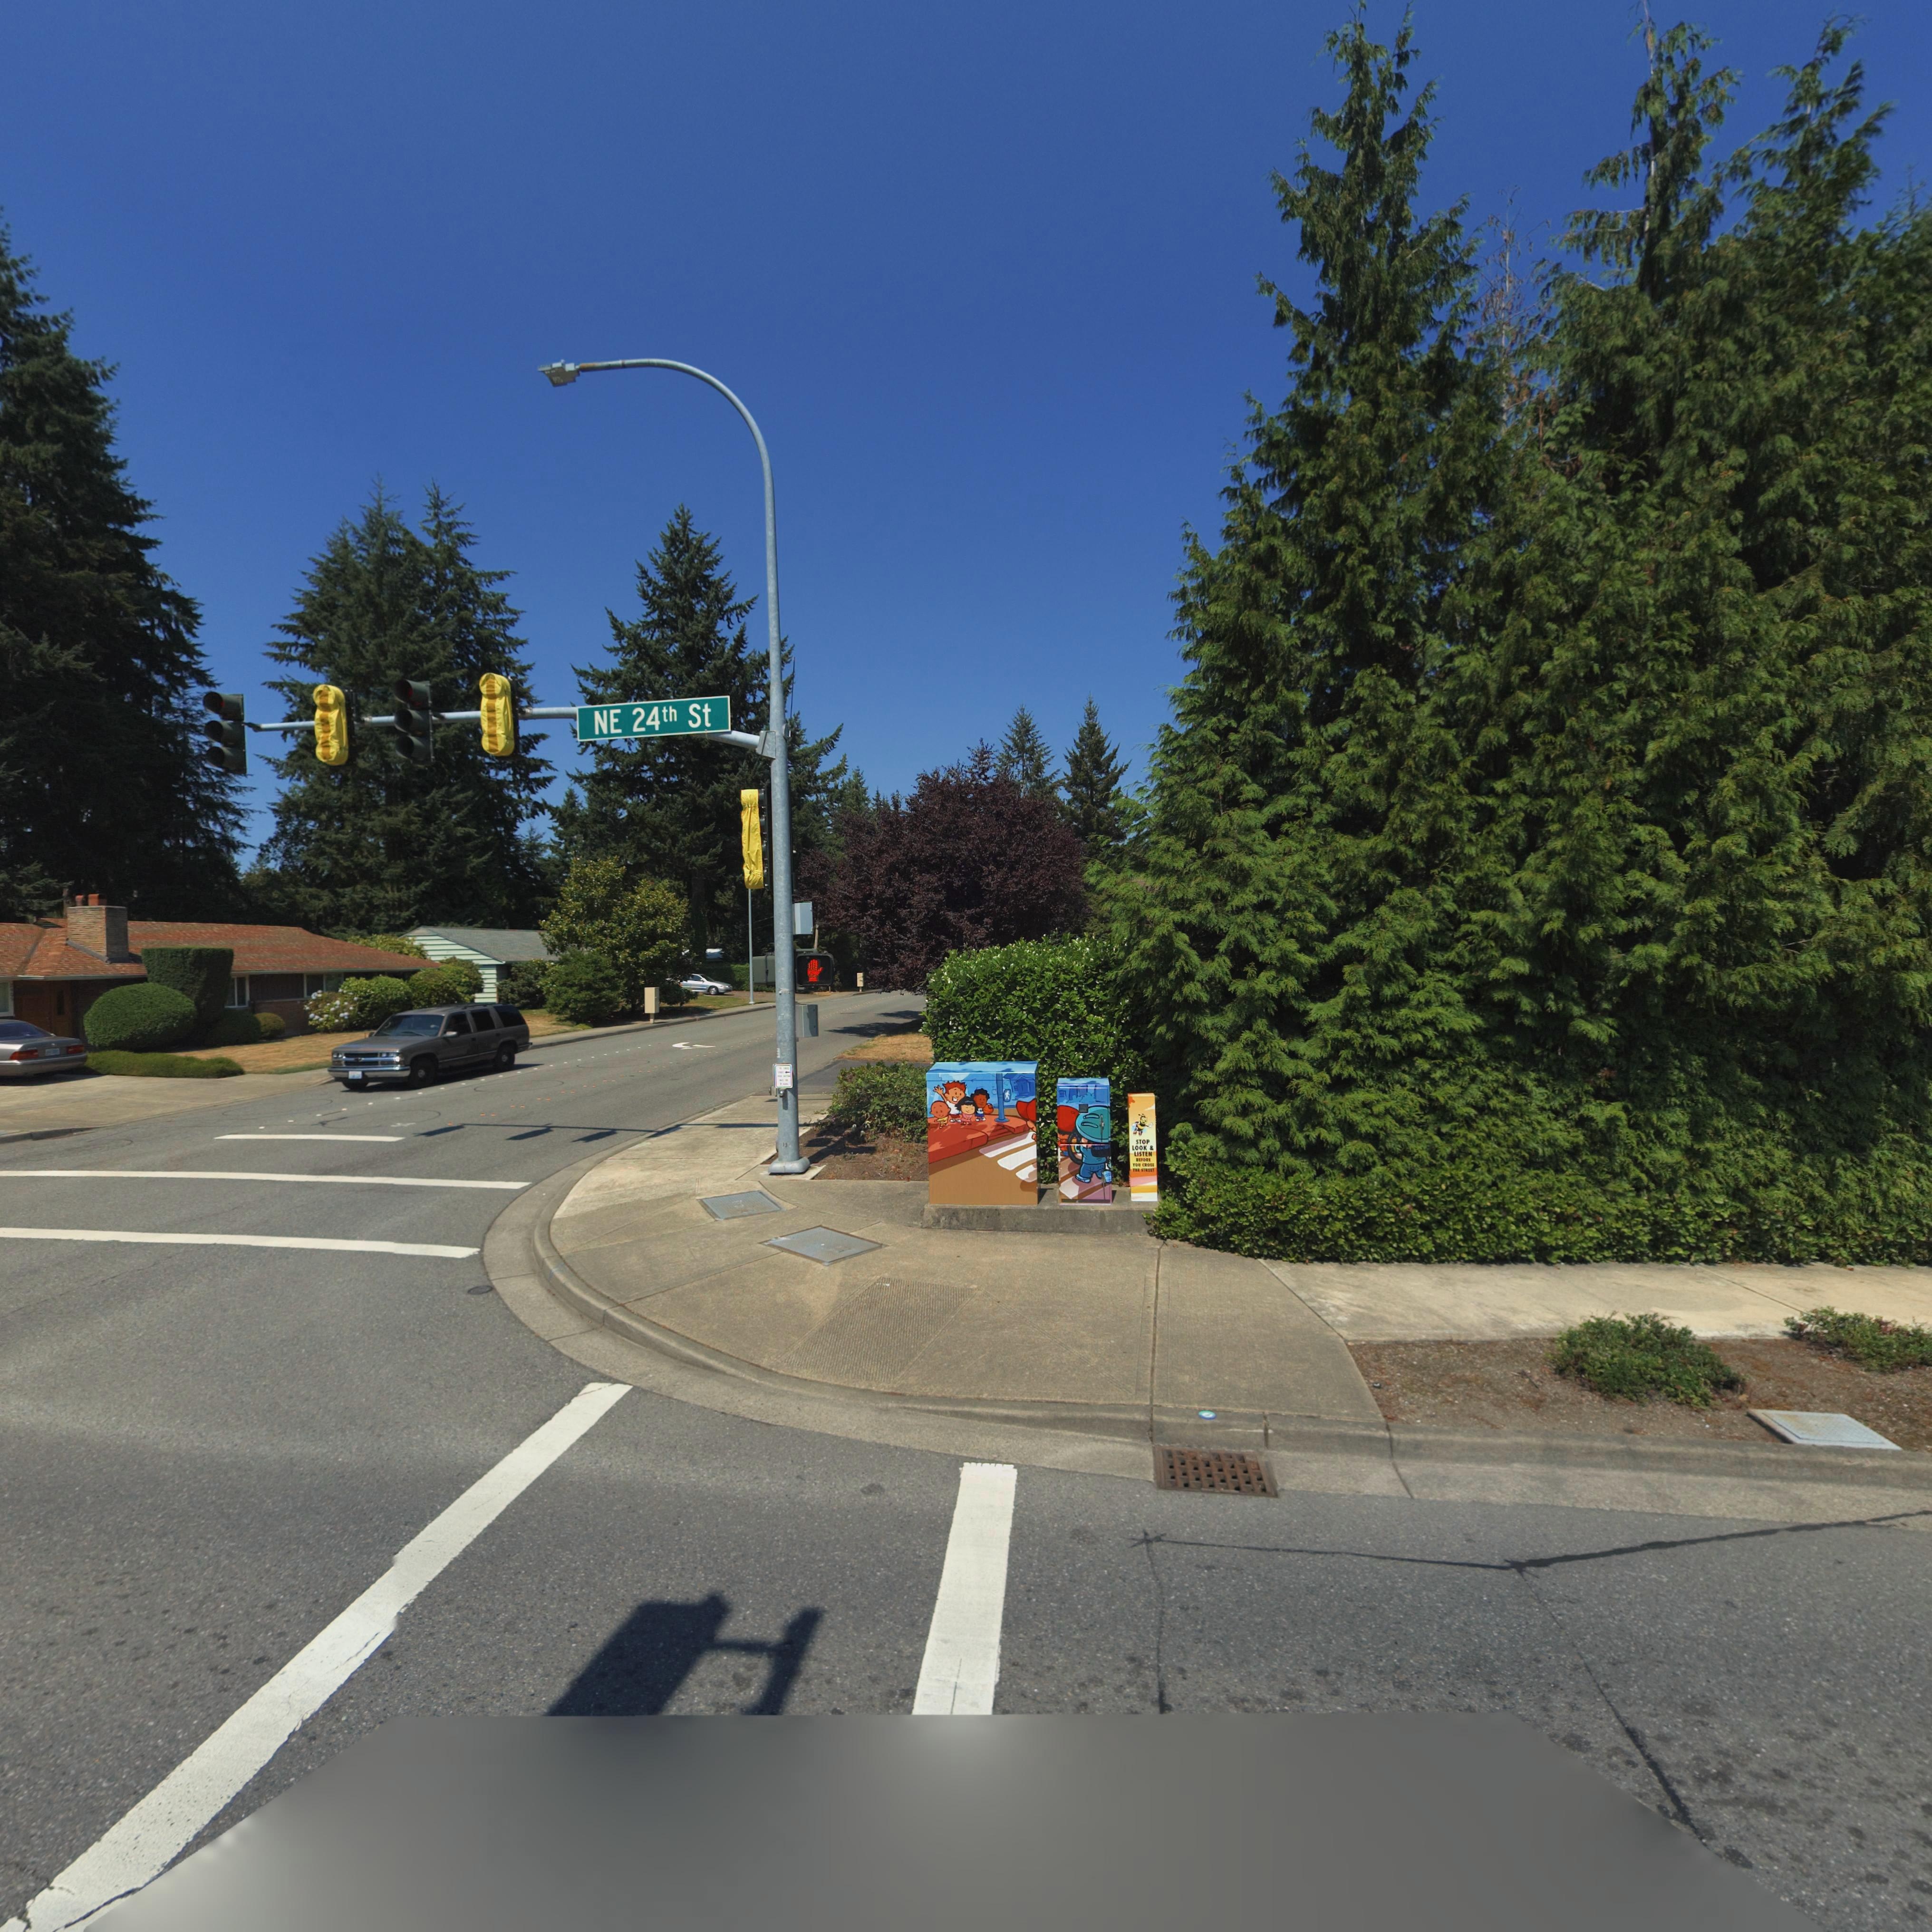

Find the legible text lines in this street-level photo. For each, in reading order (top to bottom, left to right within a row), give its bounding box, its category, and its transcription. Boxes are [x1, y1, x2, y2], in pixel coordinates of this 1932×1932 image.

[594, 703, 712, 734] StreetName: NE 24th St